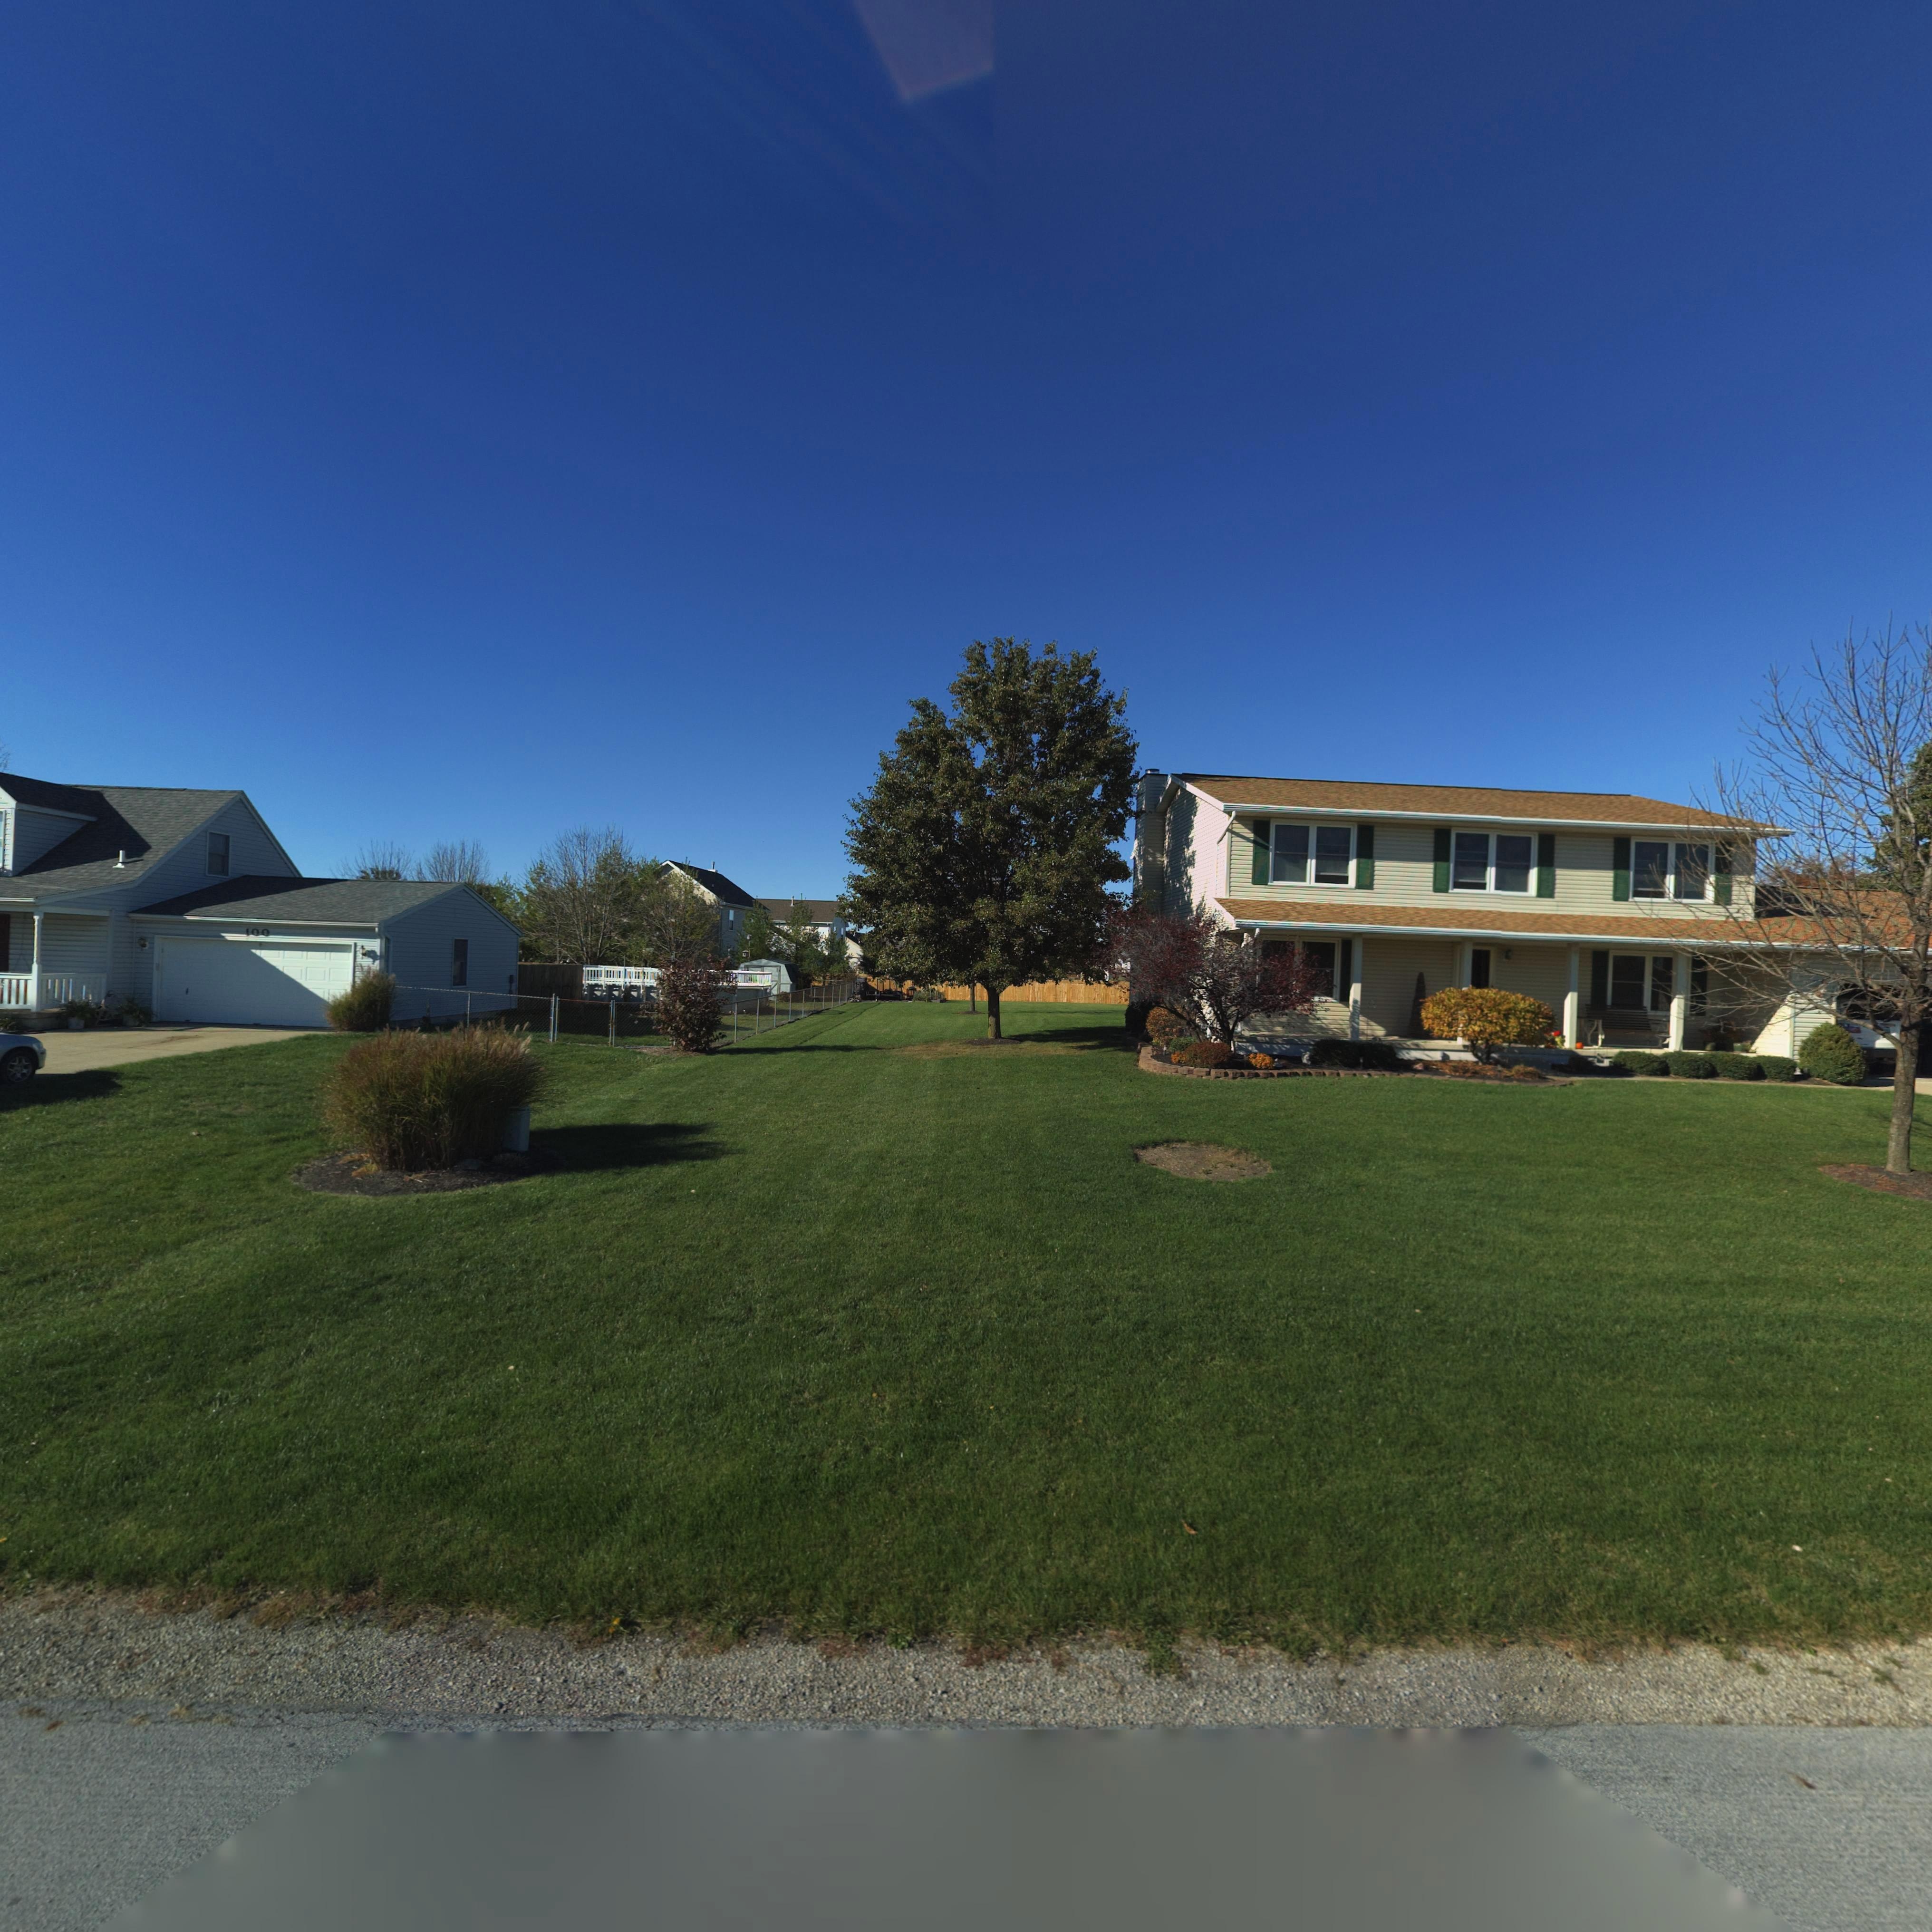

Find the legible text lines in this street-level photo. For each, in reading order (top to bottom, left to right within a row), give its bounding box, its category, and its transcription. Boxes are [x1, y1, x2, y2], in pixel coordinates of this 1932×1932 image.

[244, 927, 270, 937] StreetNumber: 100